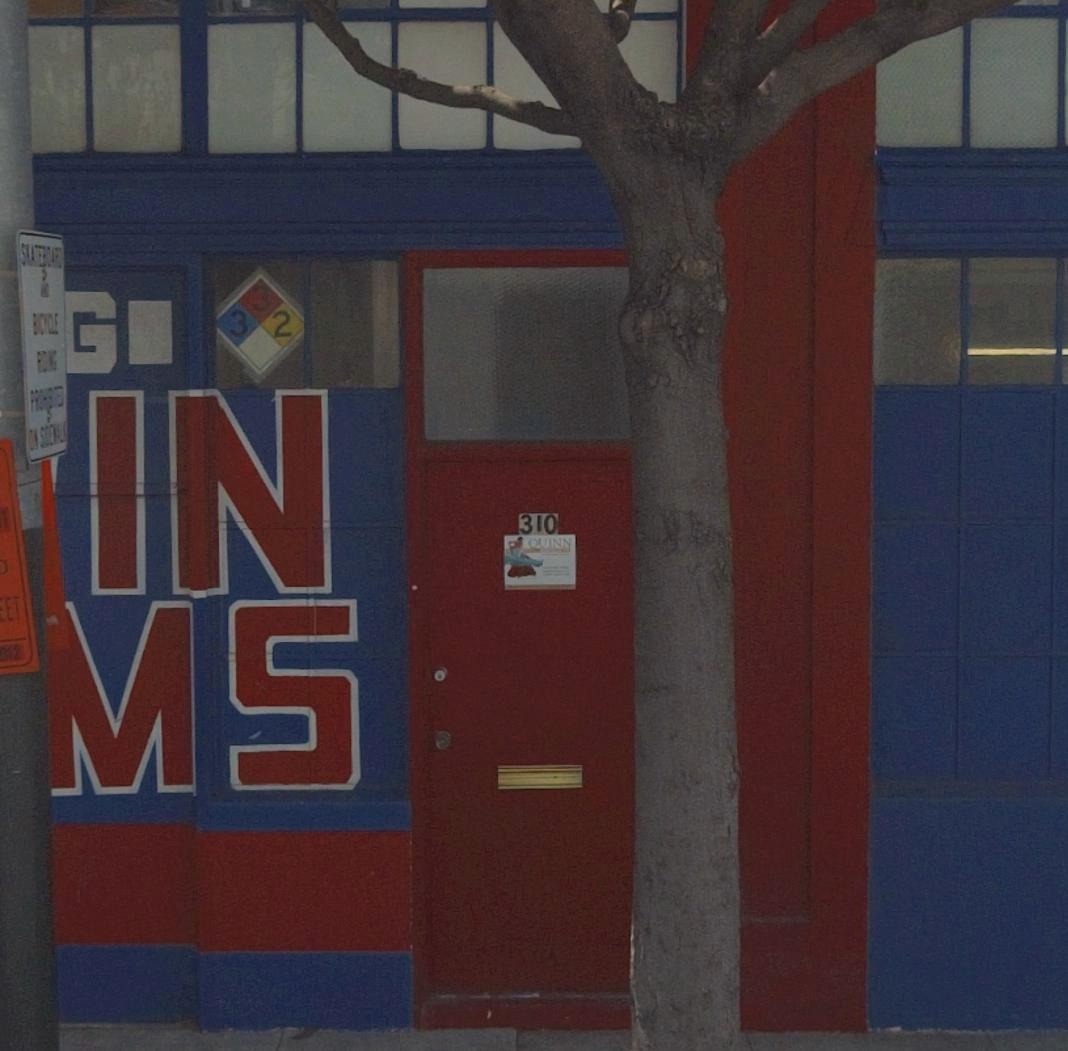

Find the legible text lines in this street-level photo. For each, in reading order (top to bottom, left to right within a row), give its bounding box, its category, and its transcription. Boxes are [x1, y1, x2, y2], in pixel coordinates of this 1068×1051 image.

[251, 283, 270, 312] None: 3
[227, 309, 249, 338] None: 3
[271, 310, 293, 338] None: 2
[83, 384, 342, 597] None: IN
[518, 514, 557, 534] StreetNumber: 310
[527, 537, 572, 548] None: OUINN
[215, 591, 366, 796] None: S